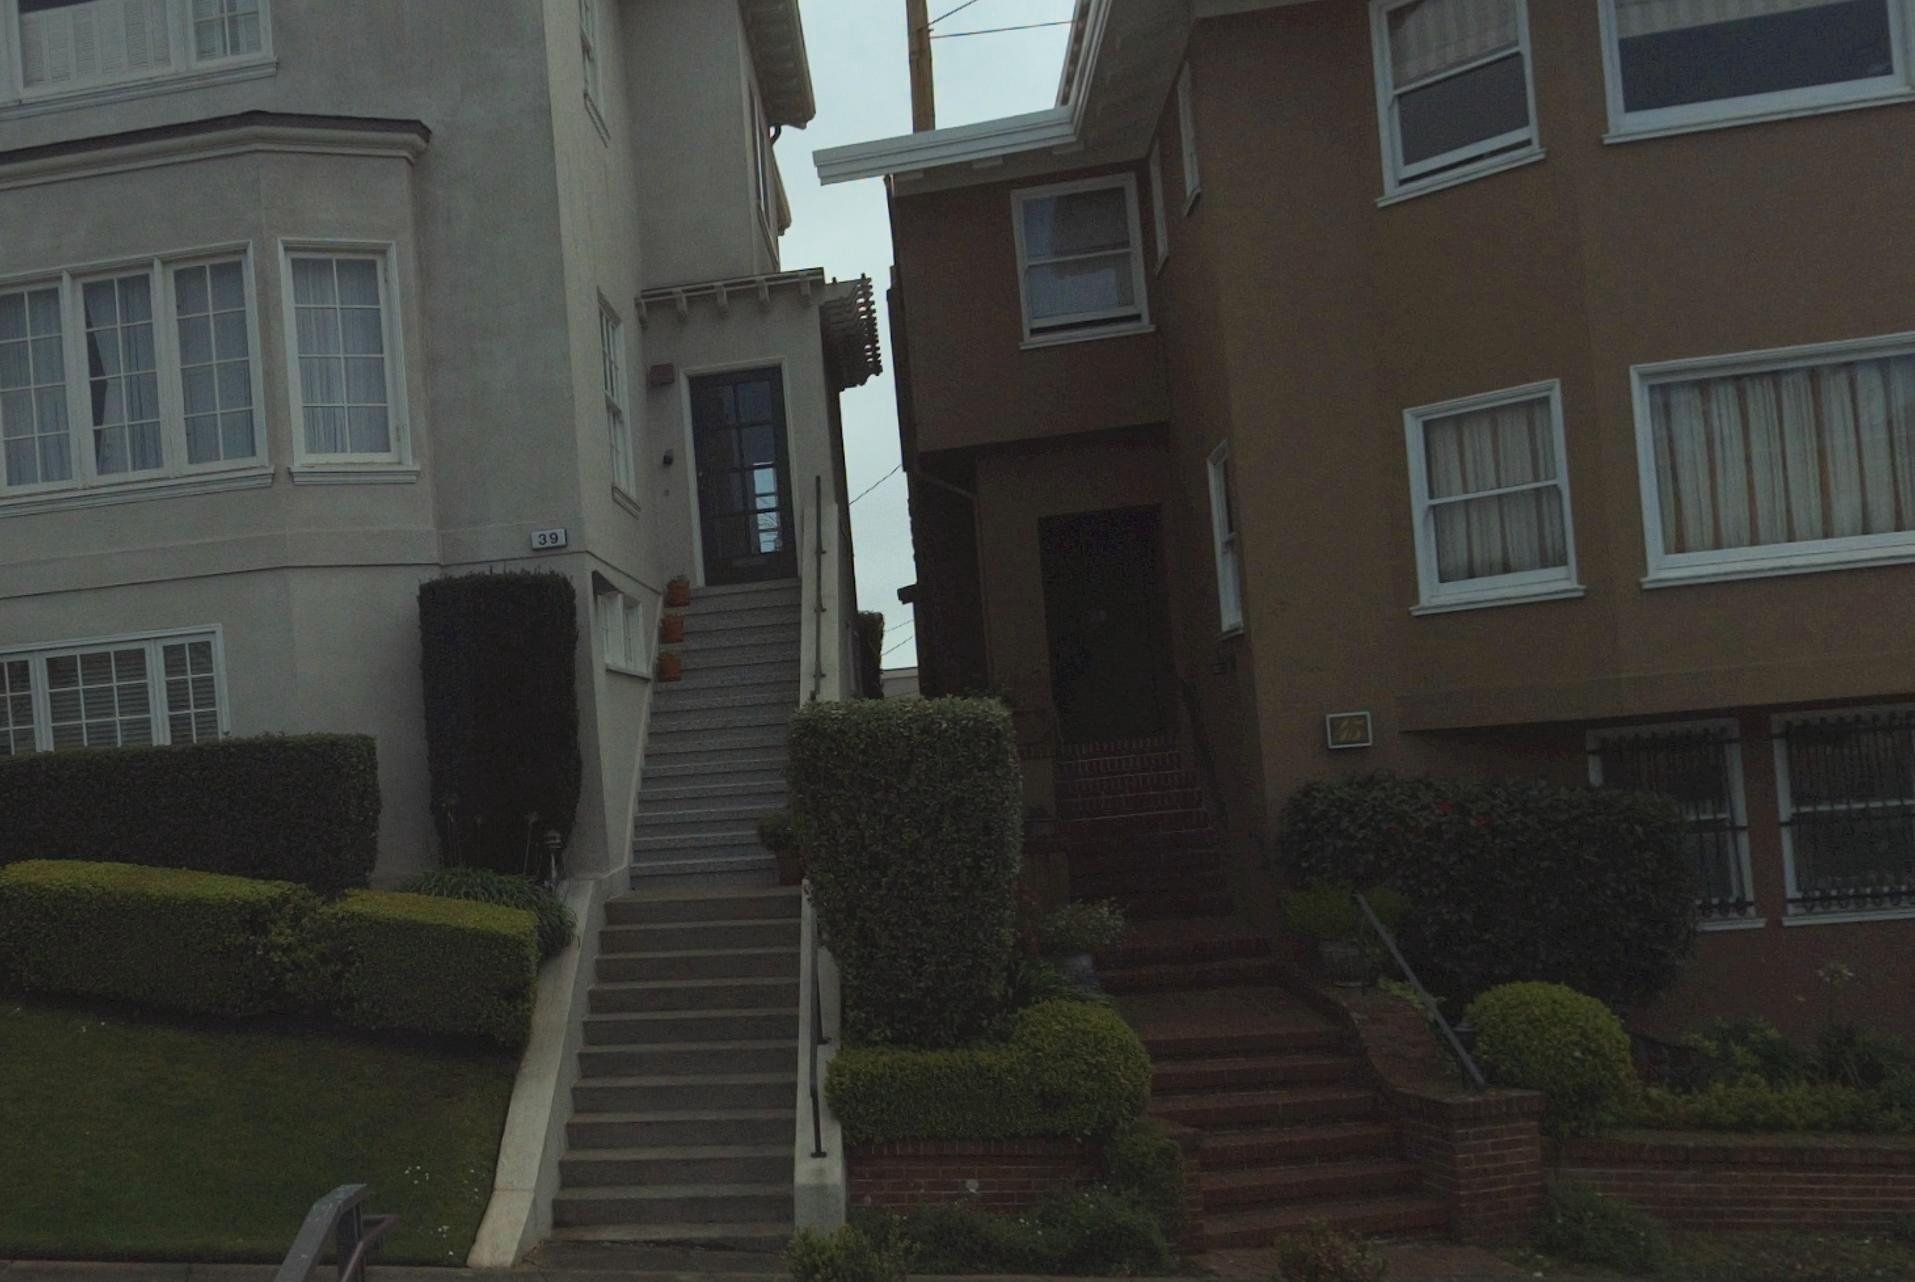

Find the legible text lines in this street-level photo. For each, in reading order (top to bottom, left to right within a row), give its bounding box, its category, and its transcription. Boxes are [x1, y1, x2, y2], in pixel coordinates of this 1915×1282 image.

[537, 531, 559, 547] StreetNumber: 39
[1333, 718, 1366, 743] StreetNumber: 45